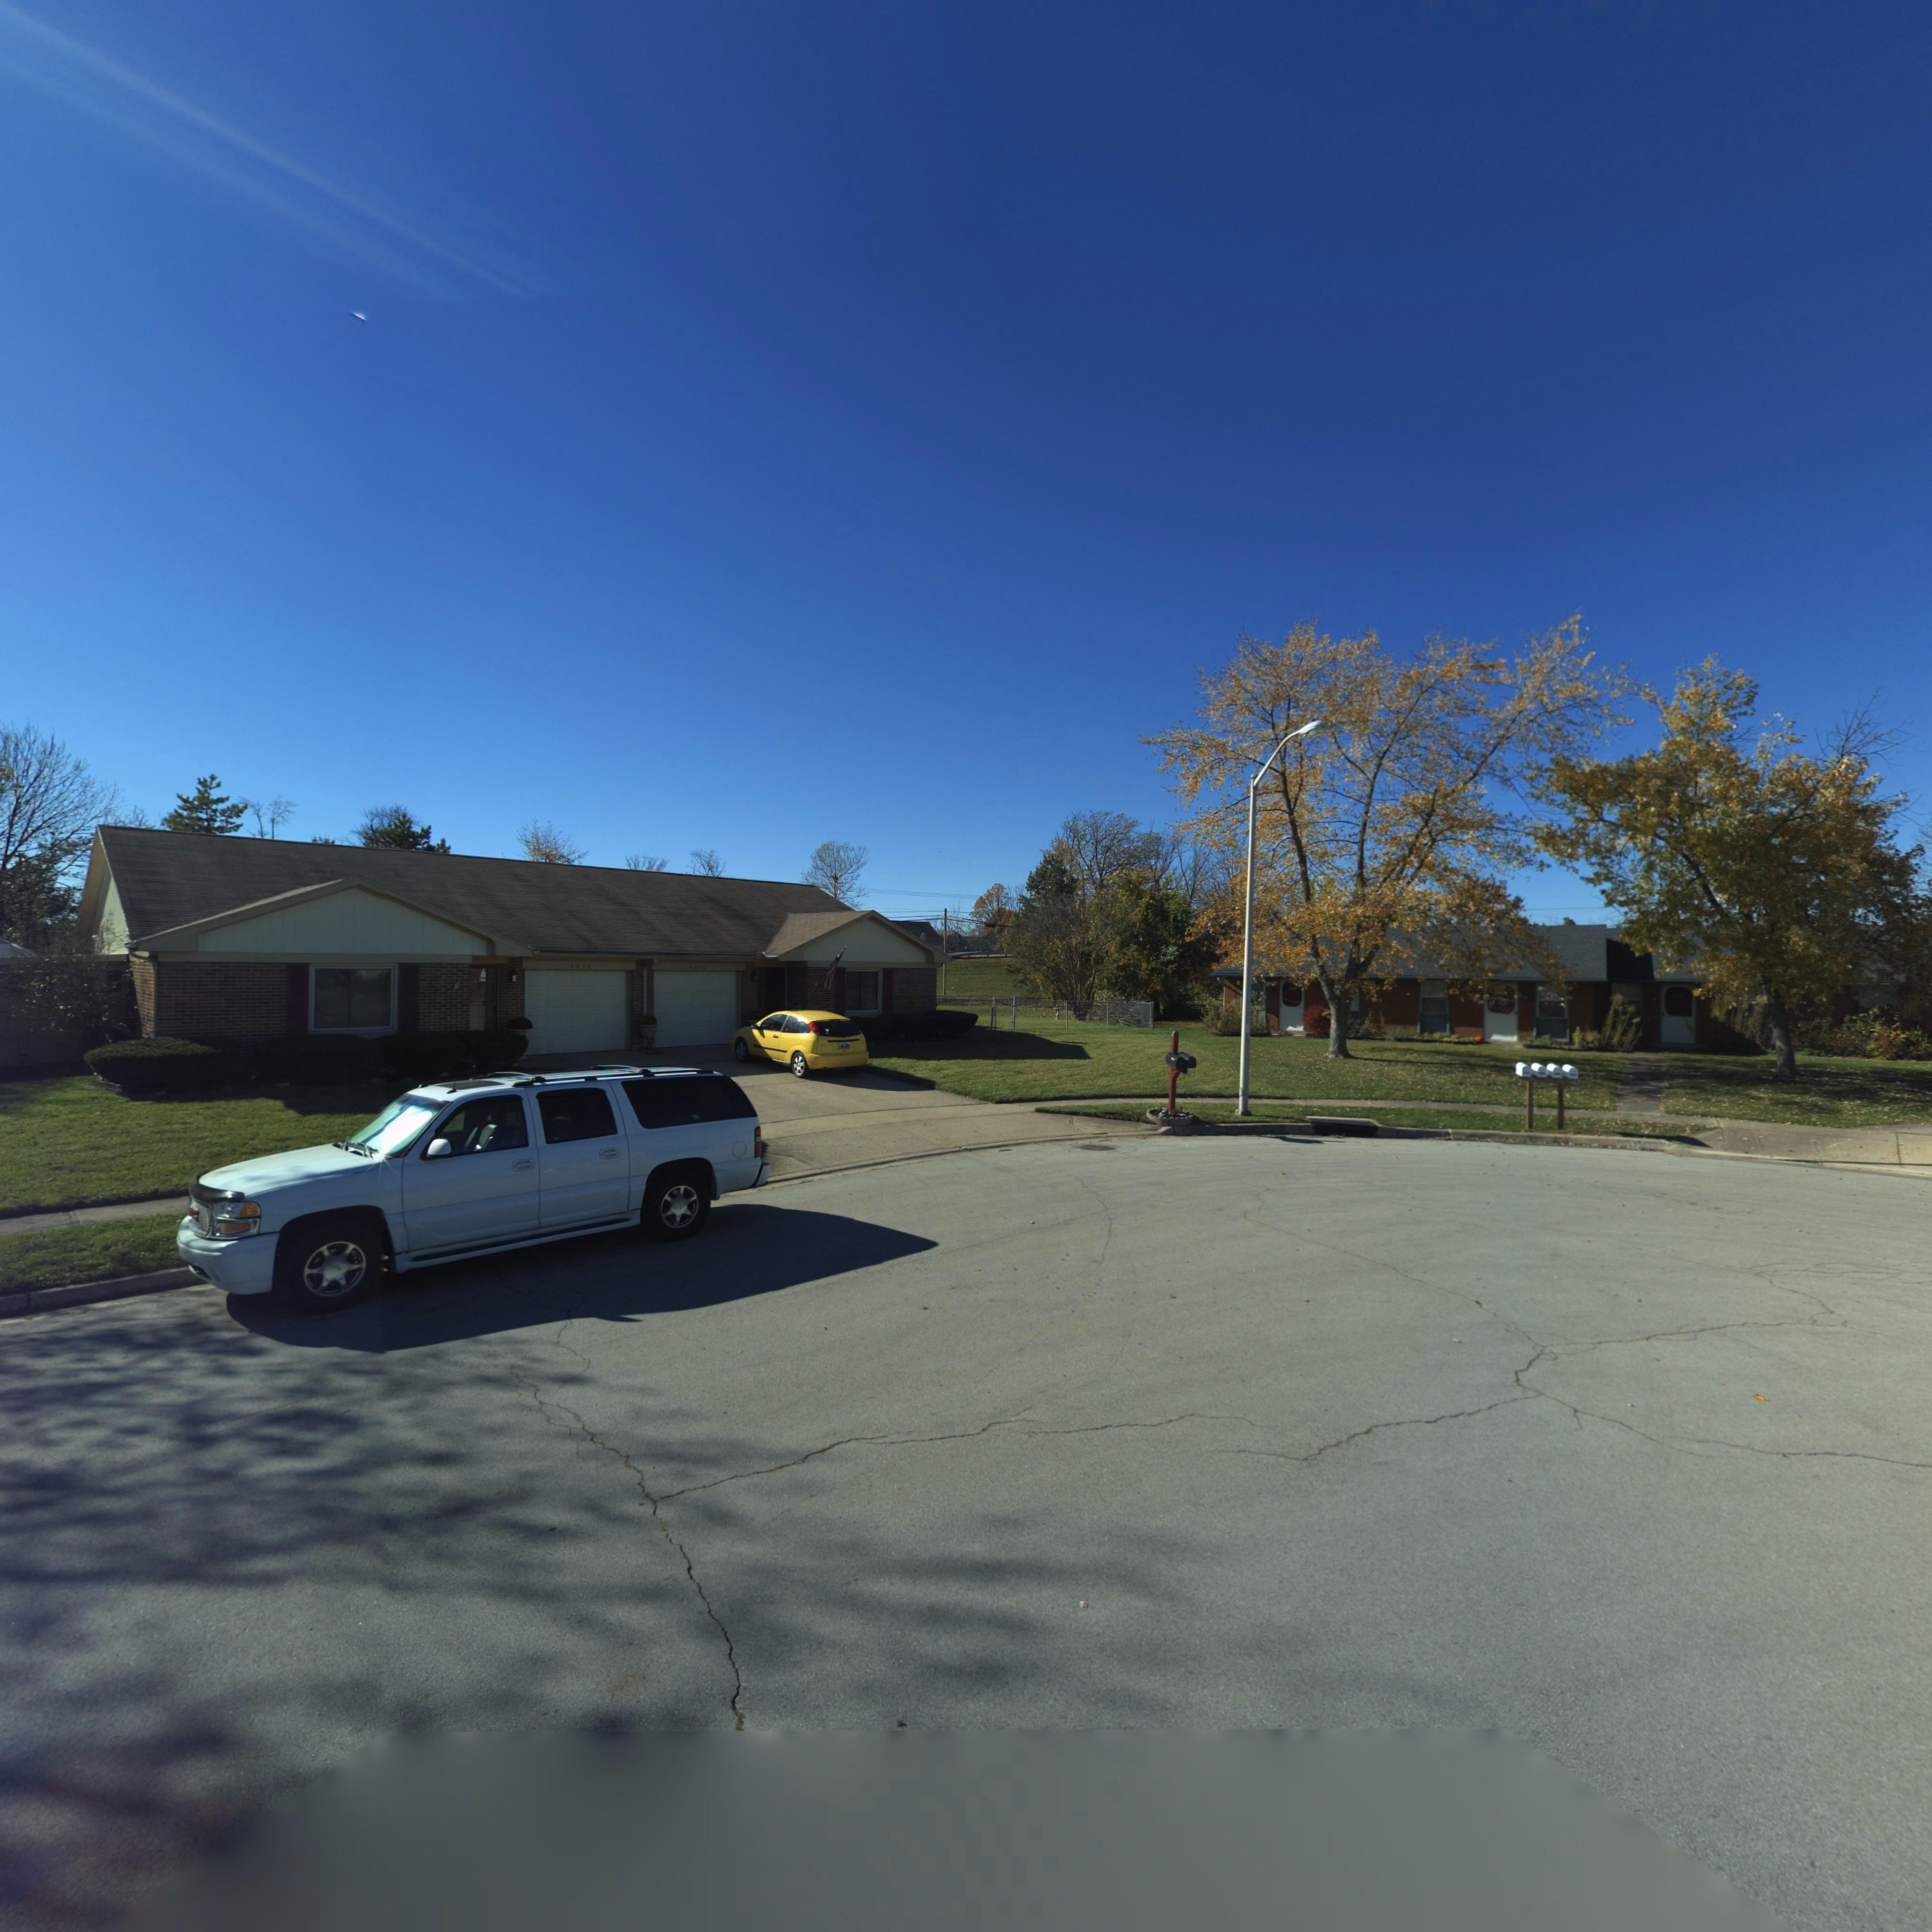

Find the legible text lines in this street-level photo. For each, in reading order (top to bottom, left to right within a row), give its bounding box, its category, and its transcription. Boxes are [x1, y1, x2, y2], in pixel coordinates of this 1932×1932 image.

[570, 964, 591, 969] StreetNumber: 401*
[689, 965, 706, 970] StreetNumber: 4018